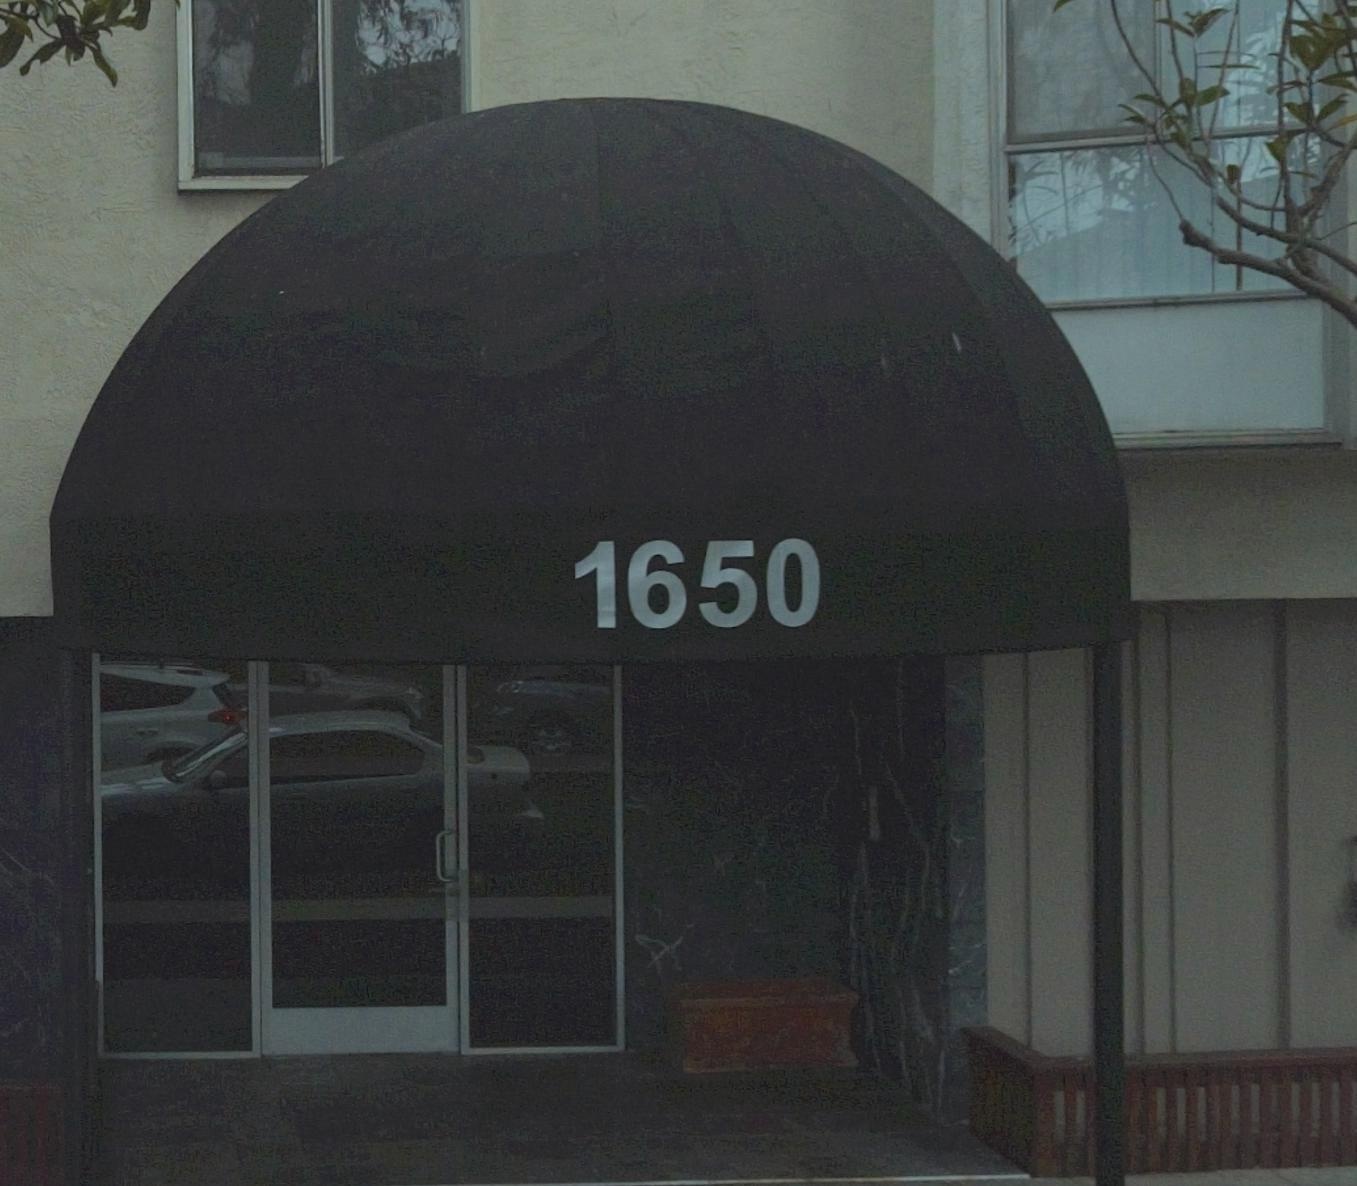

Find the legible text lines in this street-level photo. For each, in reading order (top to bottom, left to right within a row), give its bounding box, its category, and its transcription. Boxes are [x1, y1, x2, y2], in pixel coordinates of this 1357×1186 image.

[567, 529, 826, 635] StreetNumber: 1650